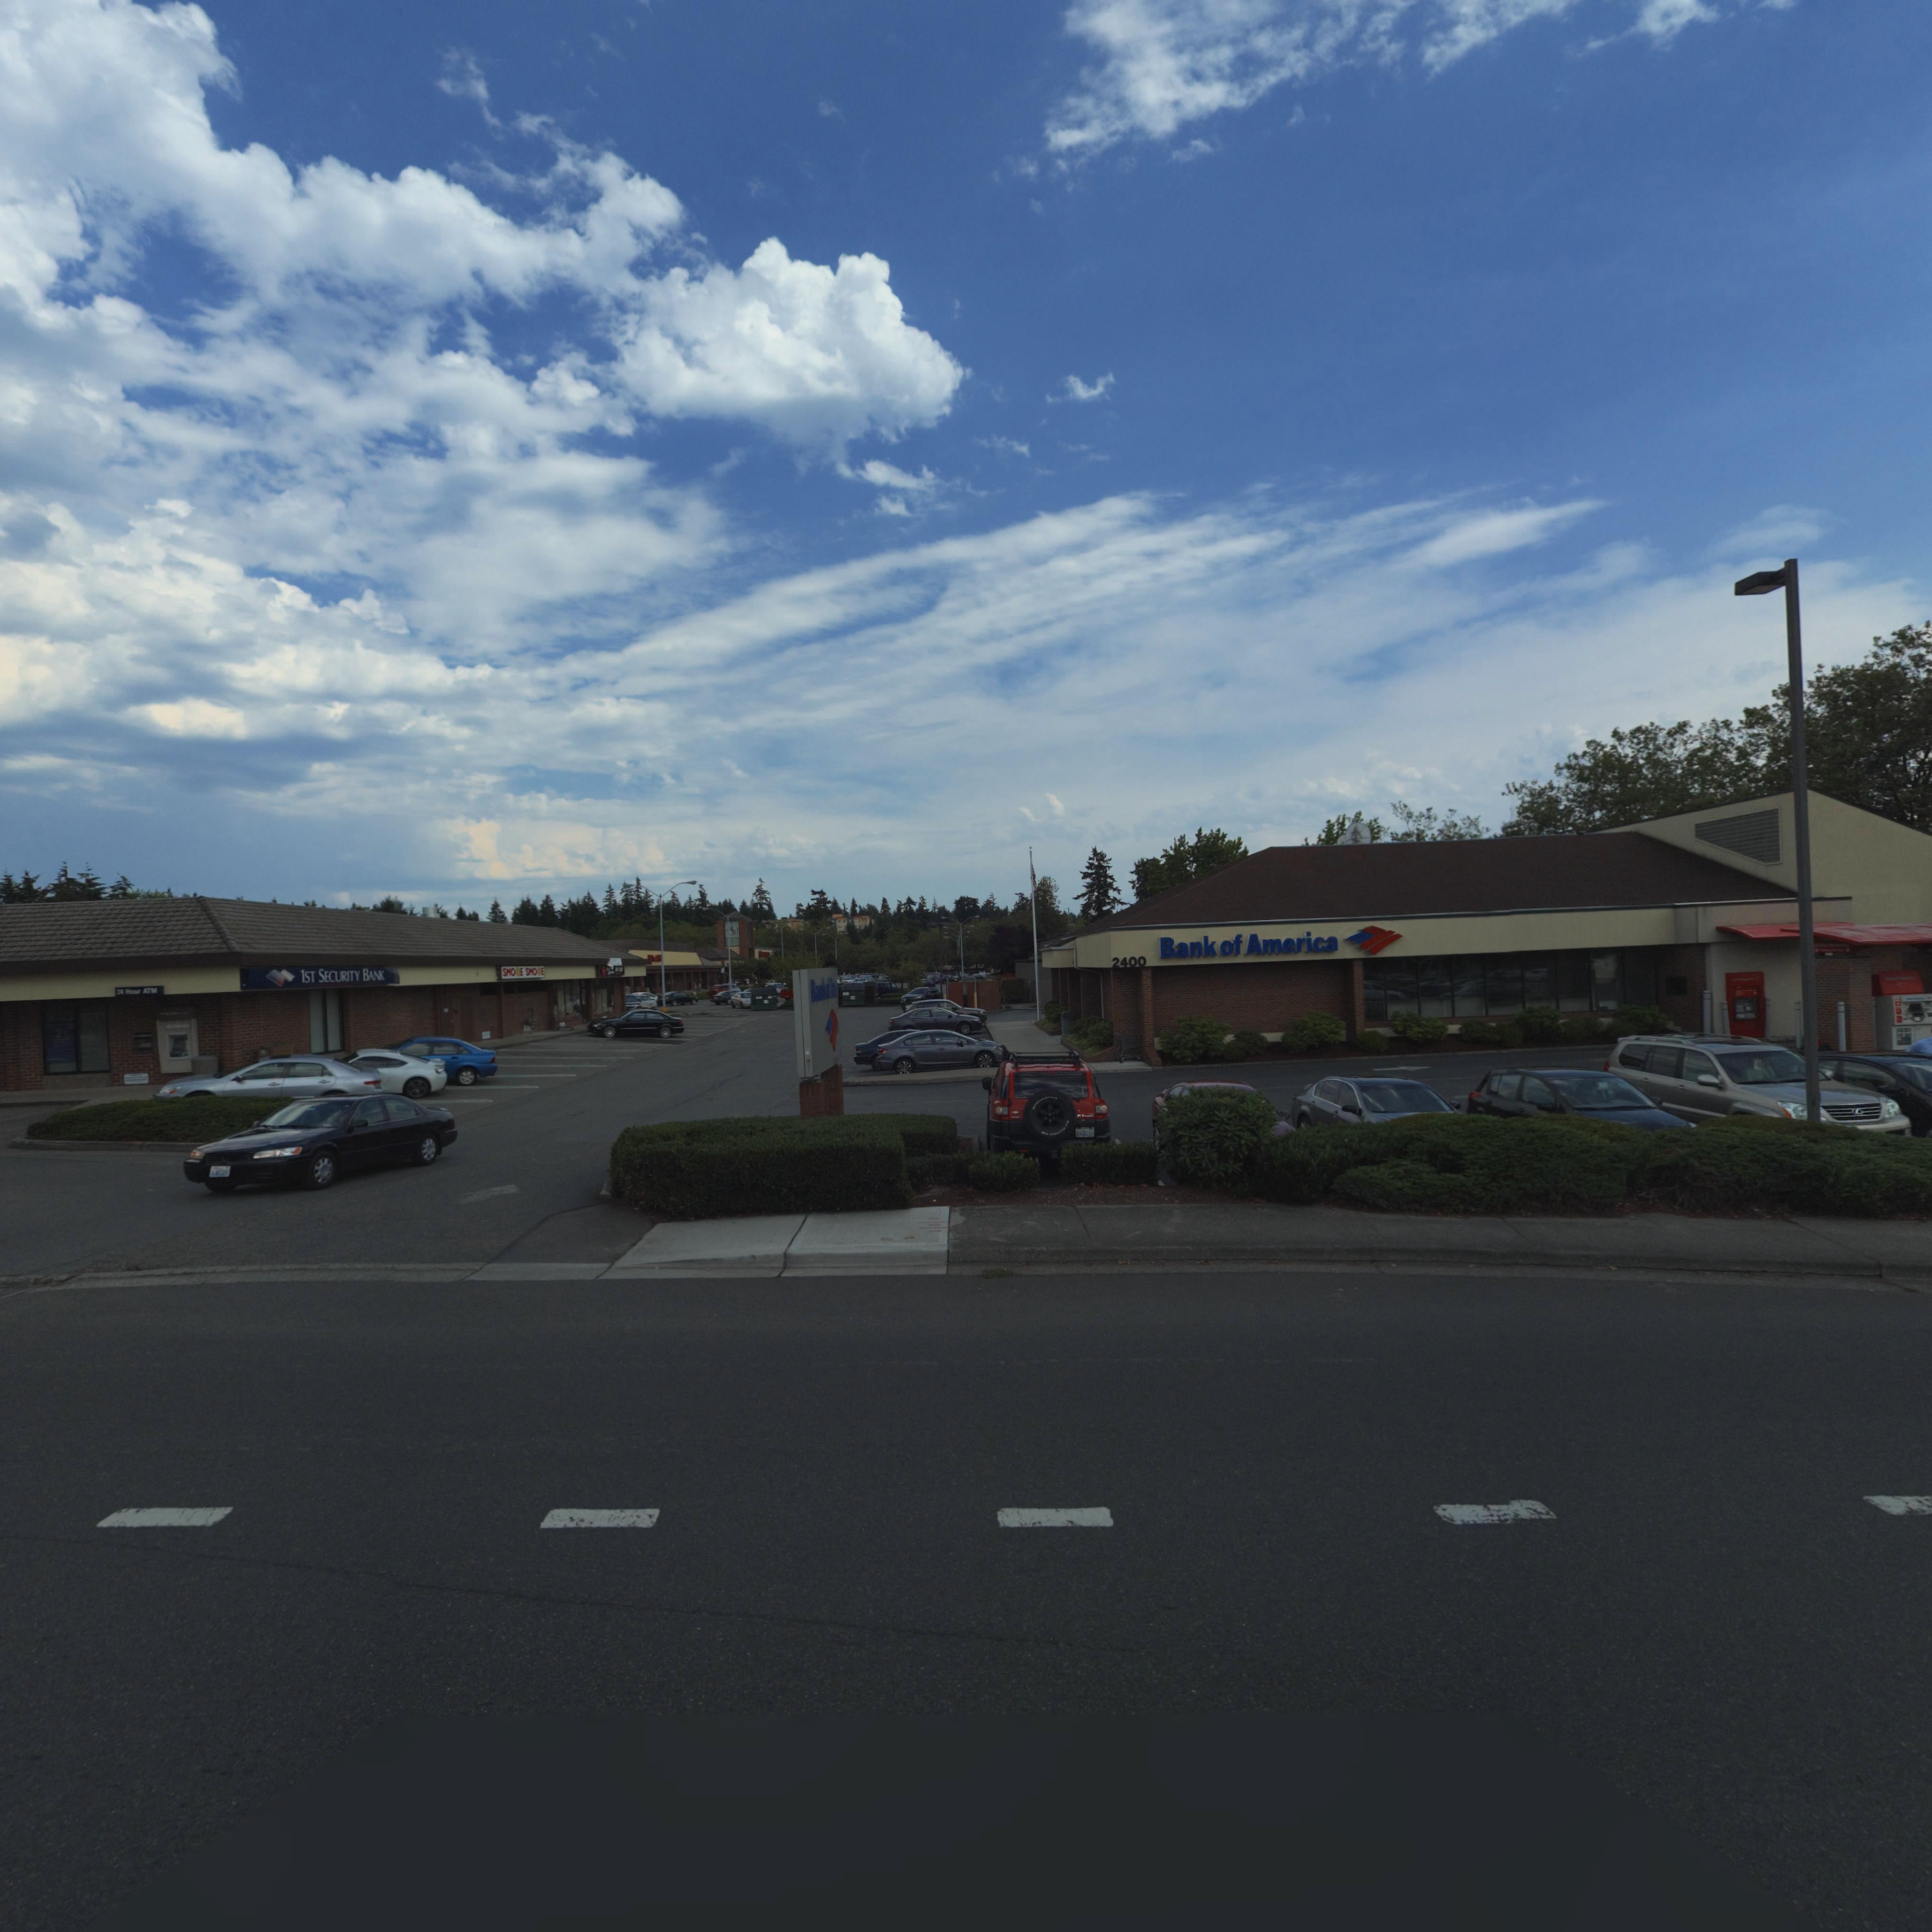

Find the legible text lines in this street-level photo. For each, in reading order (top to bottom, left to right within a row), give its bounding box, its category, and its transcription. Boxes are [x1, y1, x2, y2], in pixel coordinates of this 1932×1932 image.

[1159, 930, 1339, 959] BusinessName: Bank of America
[1111, 955, 1147, 968] StreetNumber: 2400
[299, 967, 386, 984] BusinessName: 1ST SECURITY BANK
[502, 966, 544, 977] BusinessName: SMO*E SMO*E
[809, 977, 831, 1003] BusinessName: Bank of